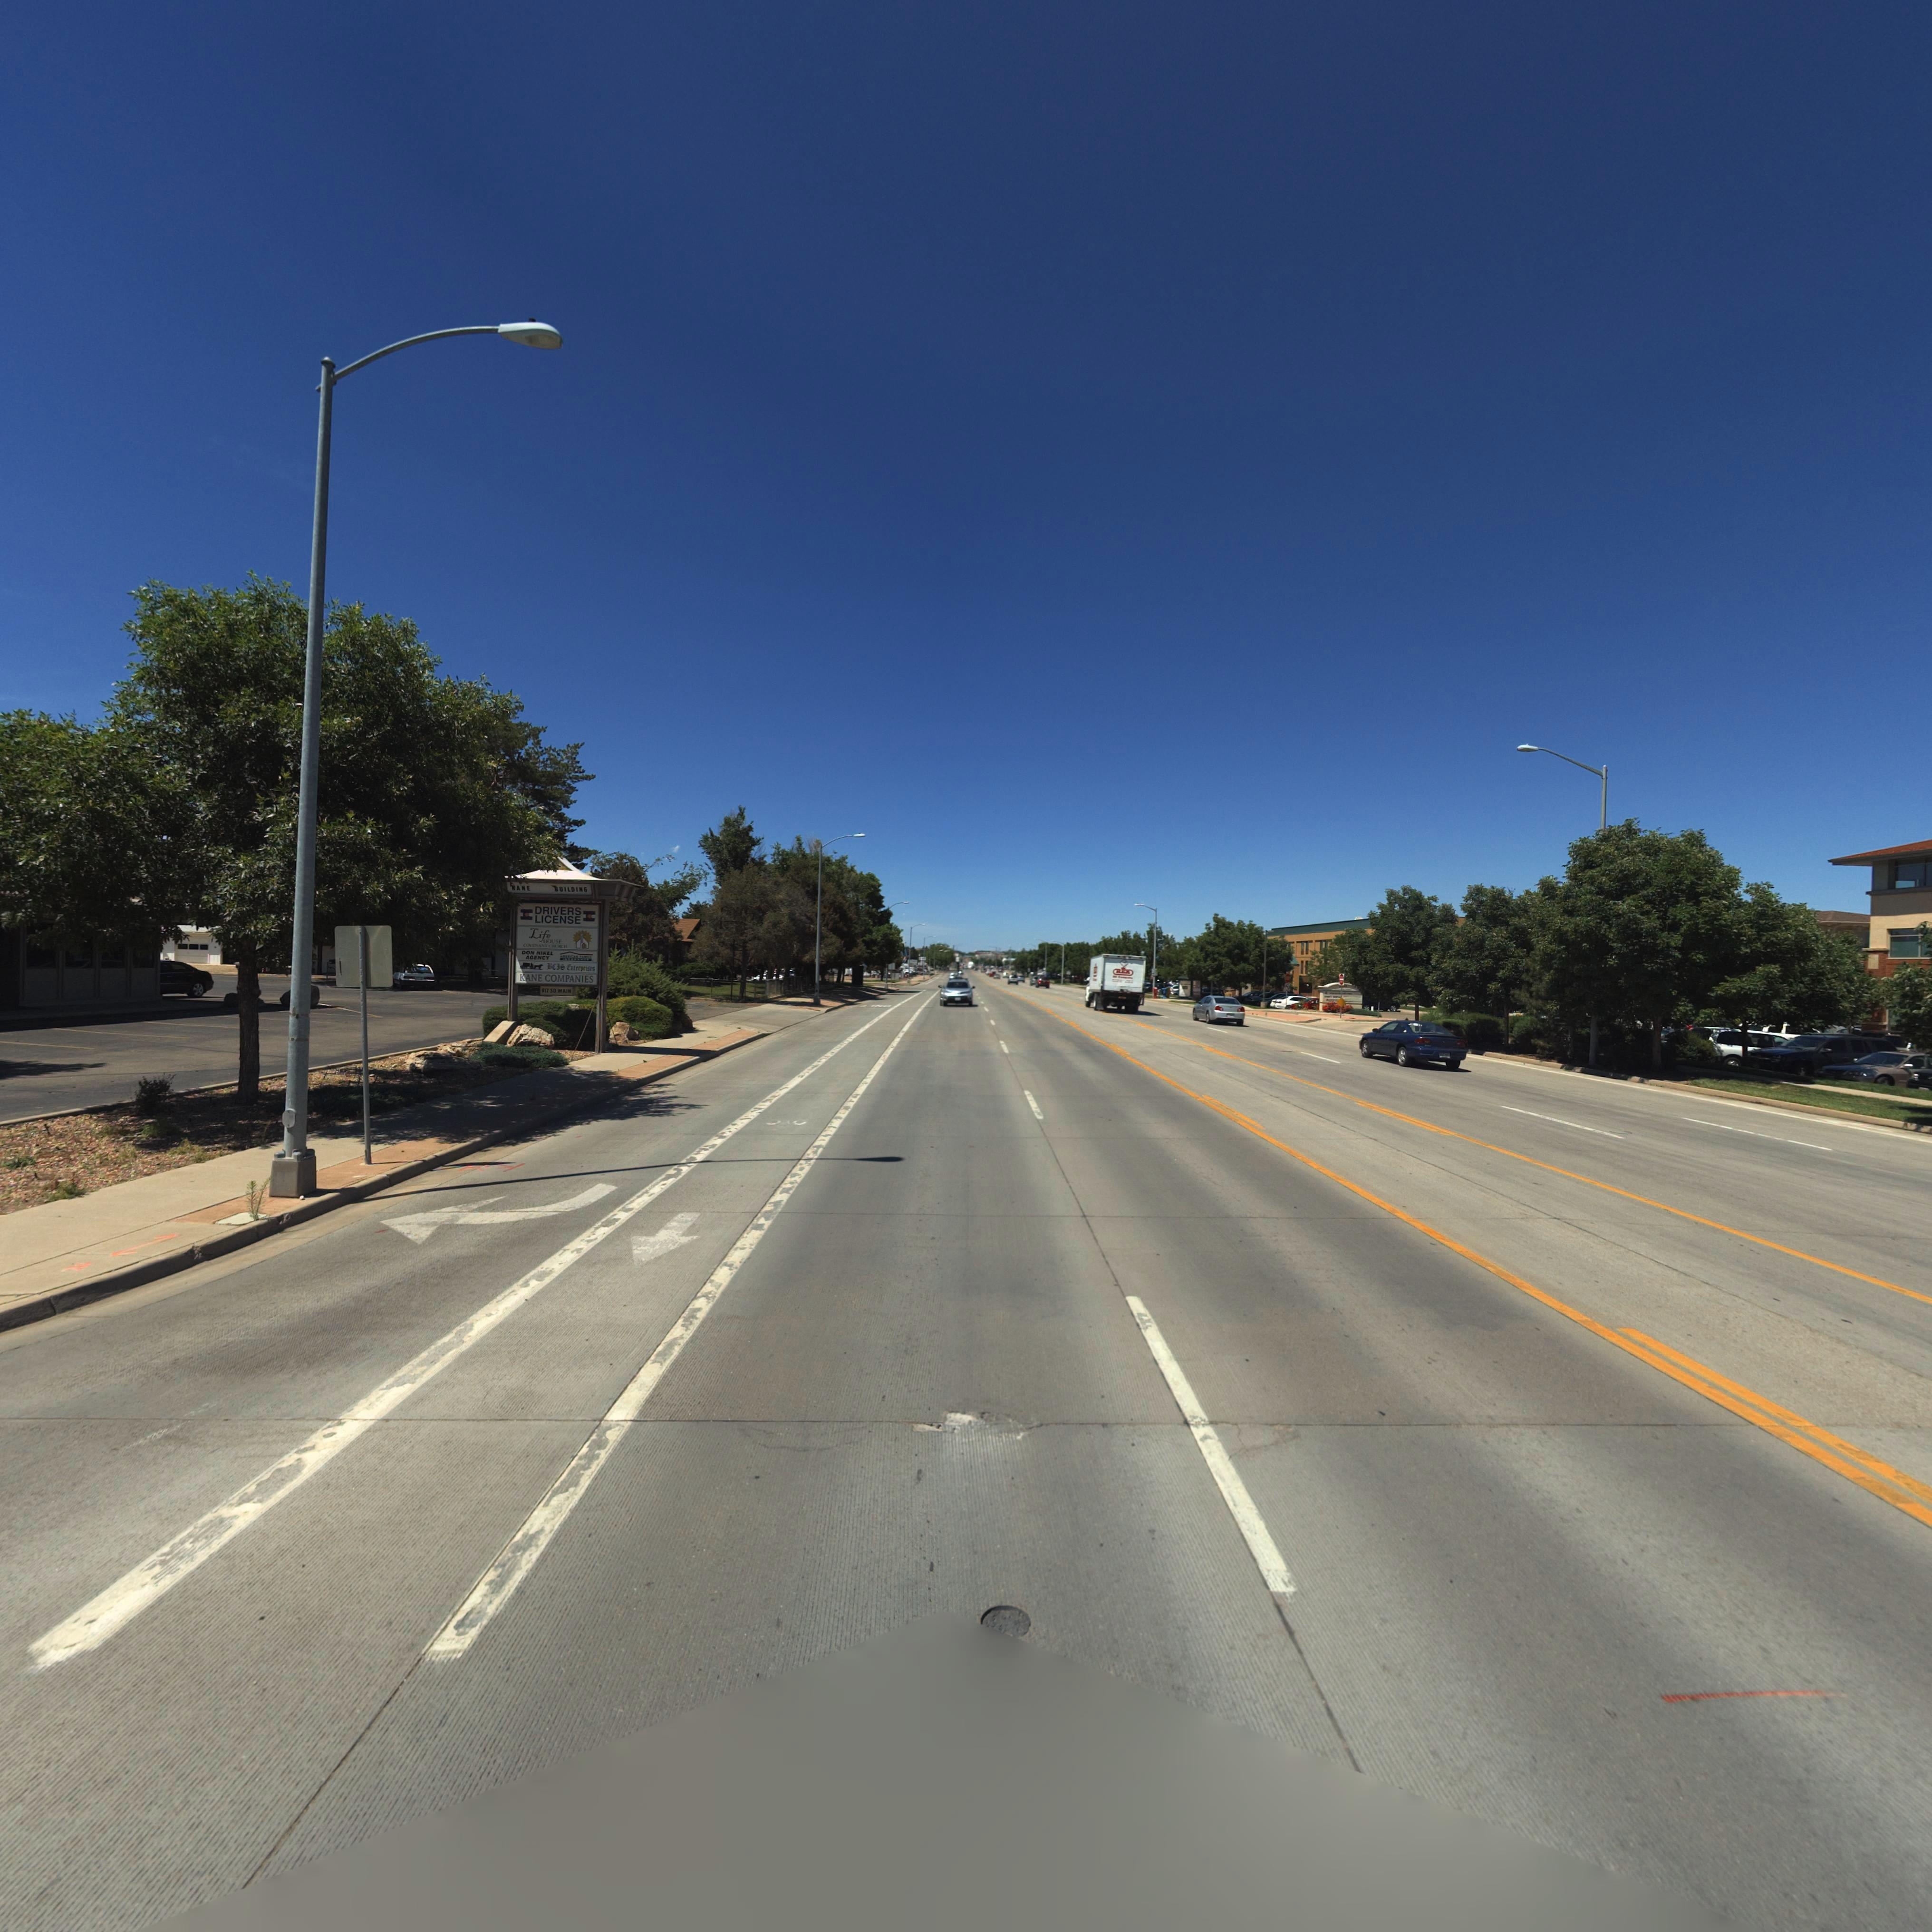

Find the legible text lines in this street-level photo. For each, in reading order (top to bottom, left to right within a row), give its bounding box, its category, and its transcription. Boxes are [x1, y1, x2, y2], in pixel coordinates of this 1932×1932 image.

[530, 927, 551, 939] BusinessName: Life
[542, 938, 562, 944] BusinessName: HOUSE
[523, 943, 568, 948] BusinessName: COVENANT CHURCH
[547, 962, 596, 972] BusinessName: BCIS Enterprises
[541, 987, 549, 993] StreetNumber: 917
[550, 988, 571, 993] StreetName: SO MAIN